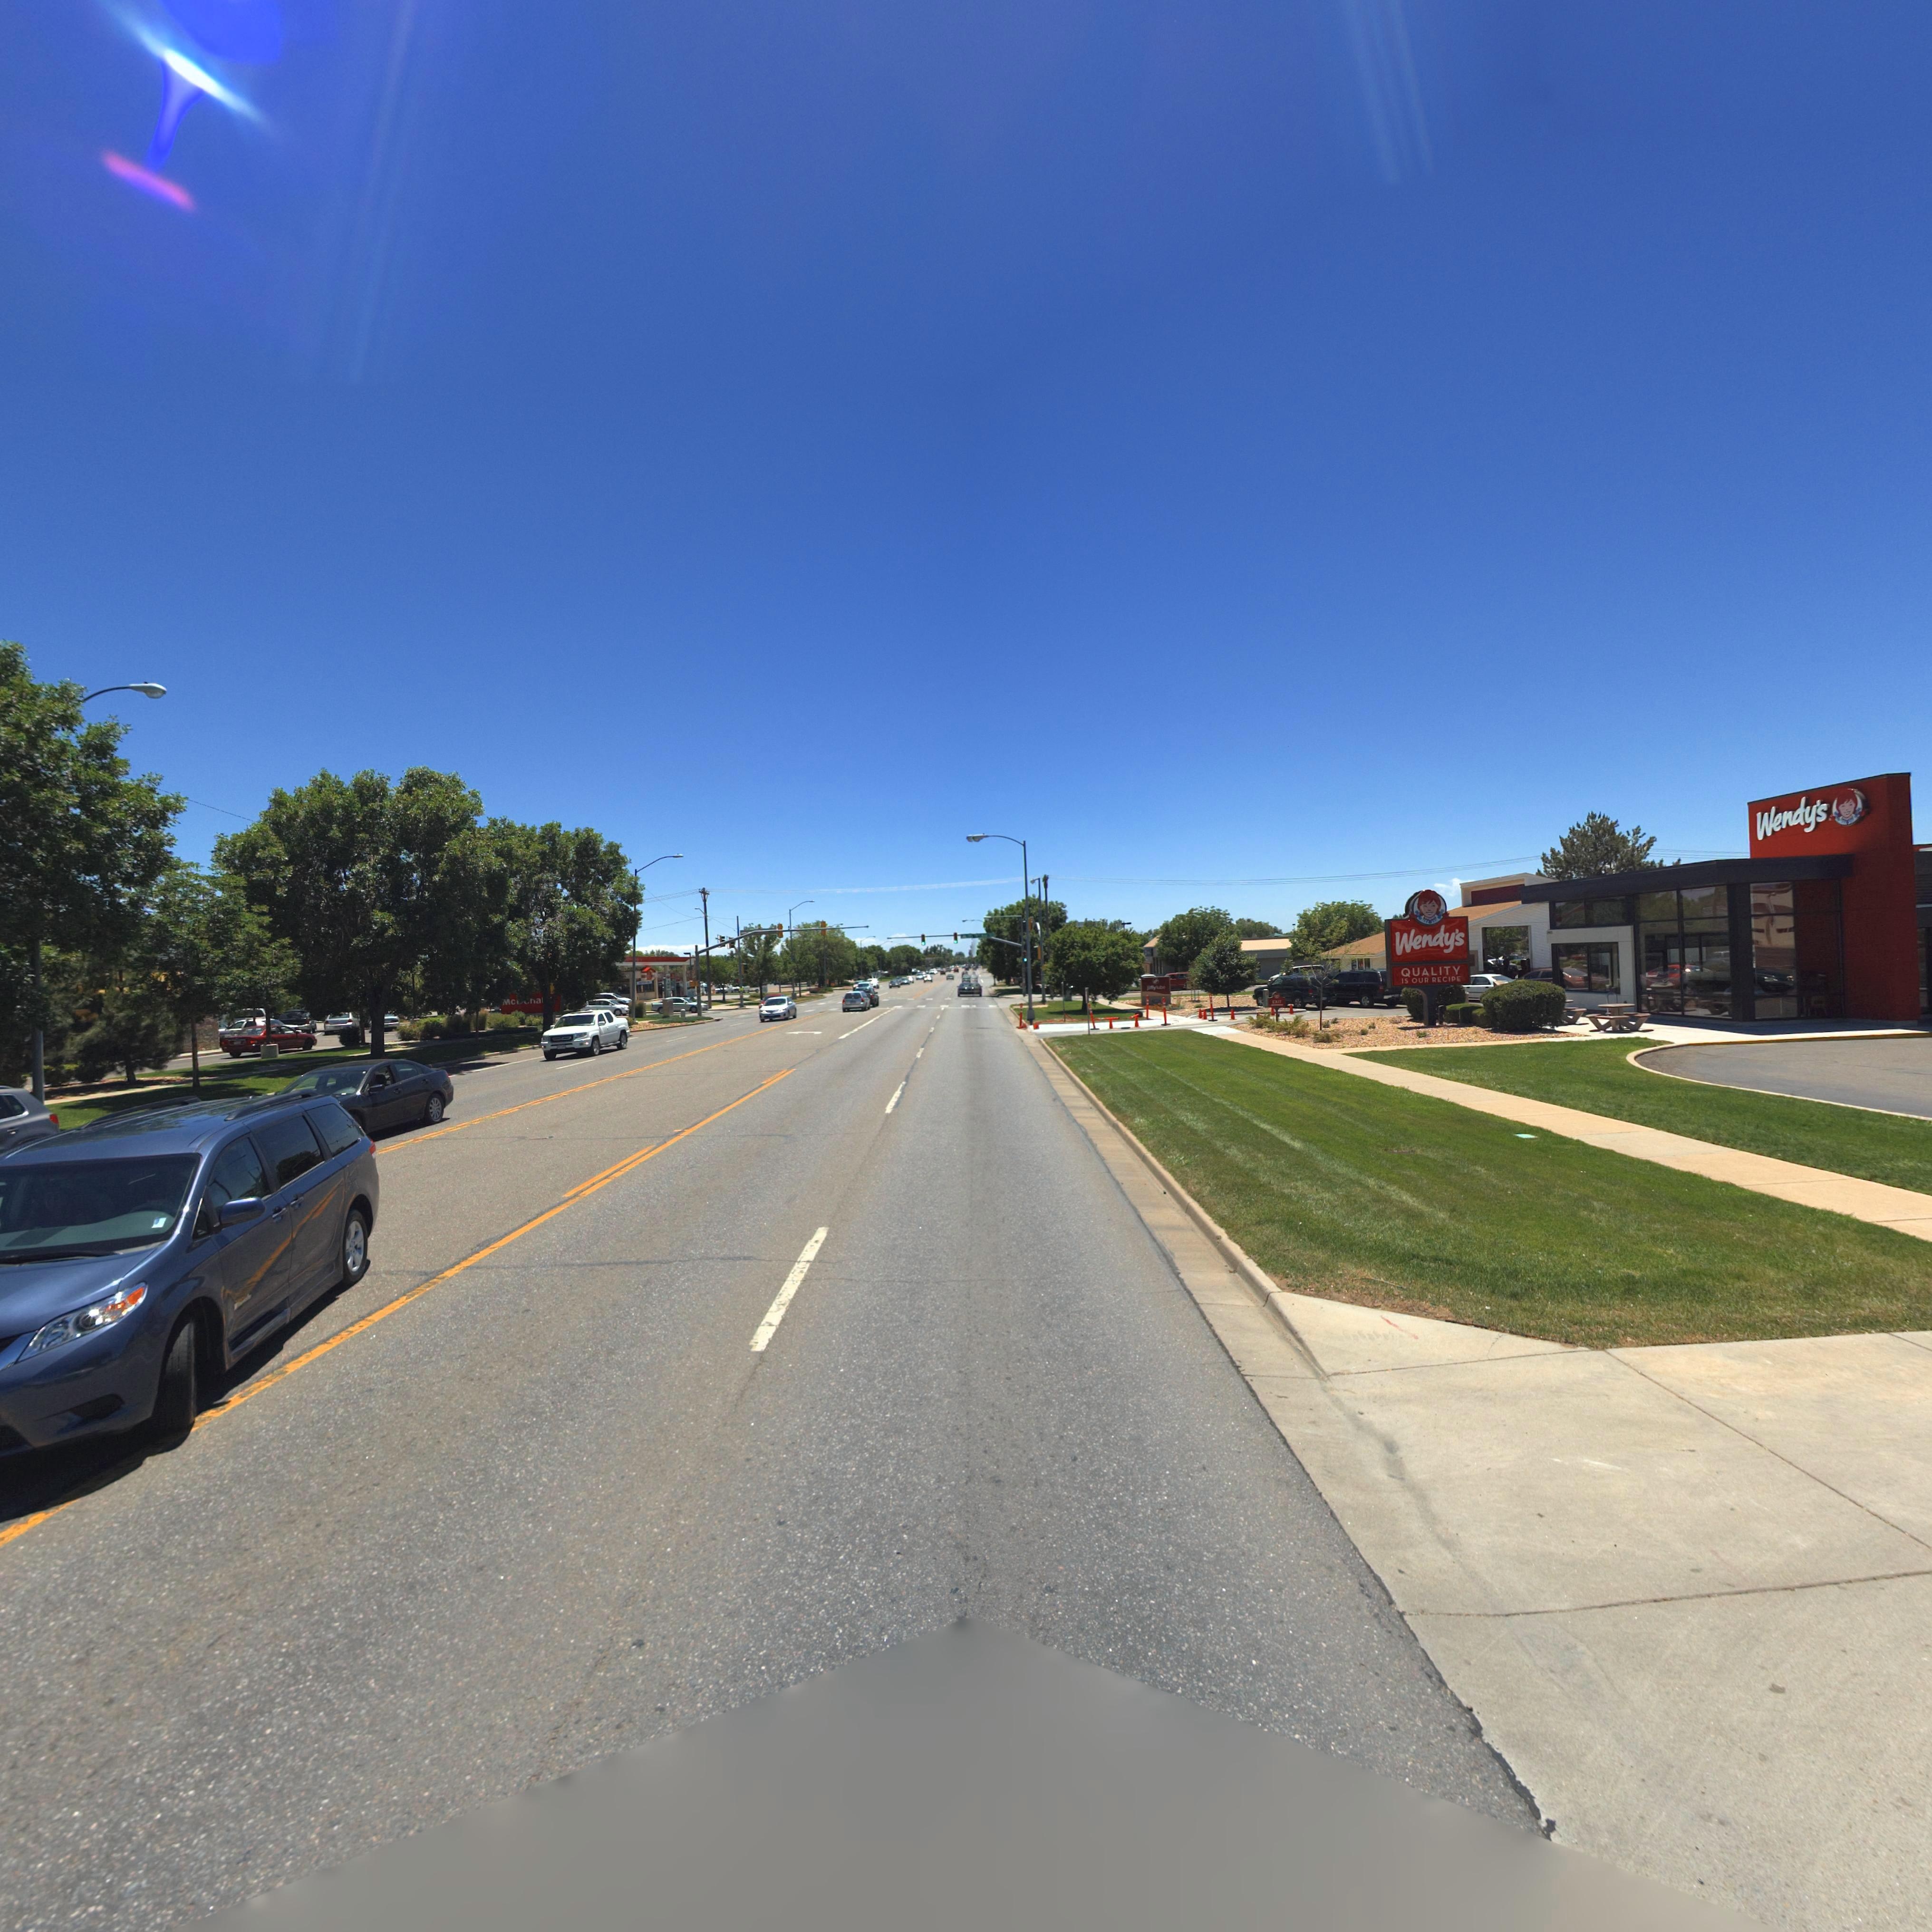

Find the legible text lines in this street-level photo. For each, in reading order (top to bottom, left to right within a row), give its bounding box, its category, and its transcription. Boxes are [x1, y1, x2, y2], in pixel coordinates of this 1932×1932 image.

[1755, 795, 1829, 841] BusinessName: Wendy's
[1394, 924, 1465, 956] BusinessName: Wendy's
[500, 997, 541, 1006] BusinessName: Mc**n*
[1146, 985, 1165, 991] BusinessName: jiffylube